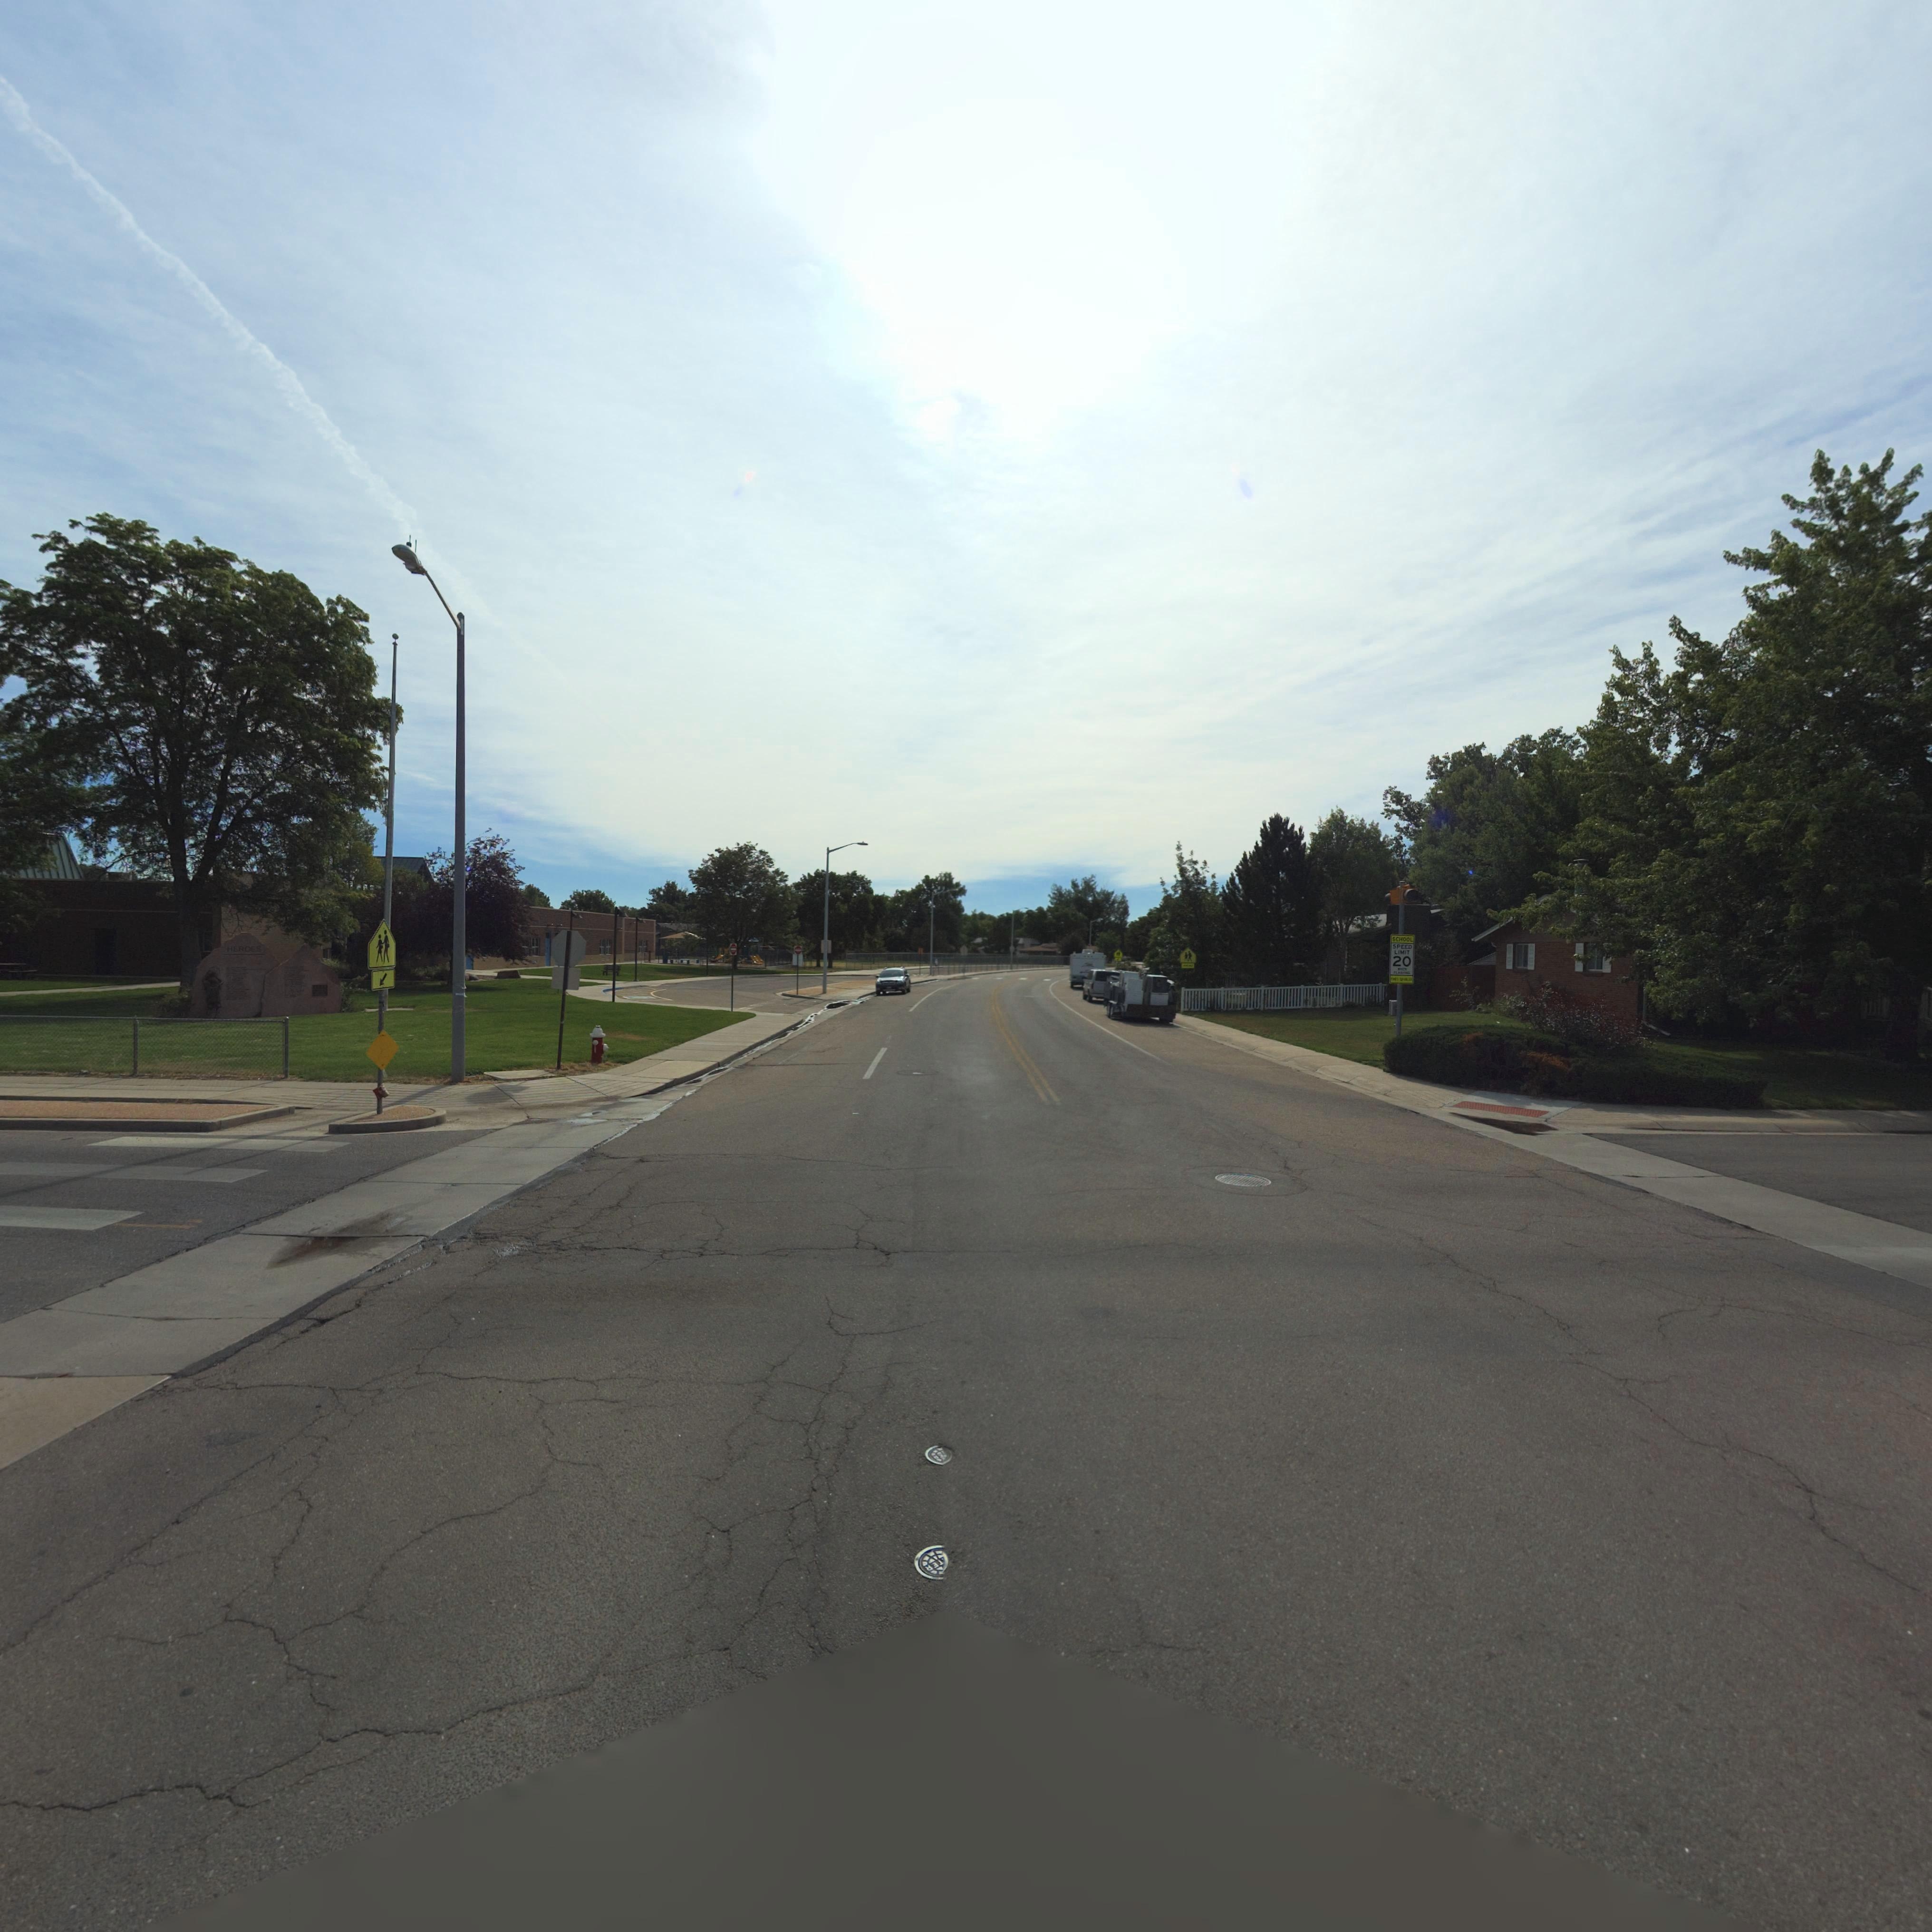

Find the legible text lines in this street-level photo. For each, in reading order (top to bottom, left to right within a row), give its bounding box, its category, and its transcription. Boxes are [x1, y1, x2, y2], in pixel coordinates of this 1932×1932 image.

[1392, 956, 1411, 967] StreetNumber: 20